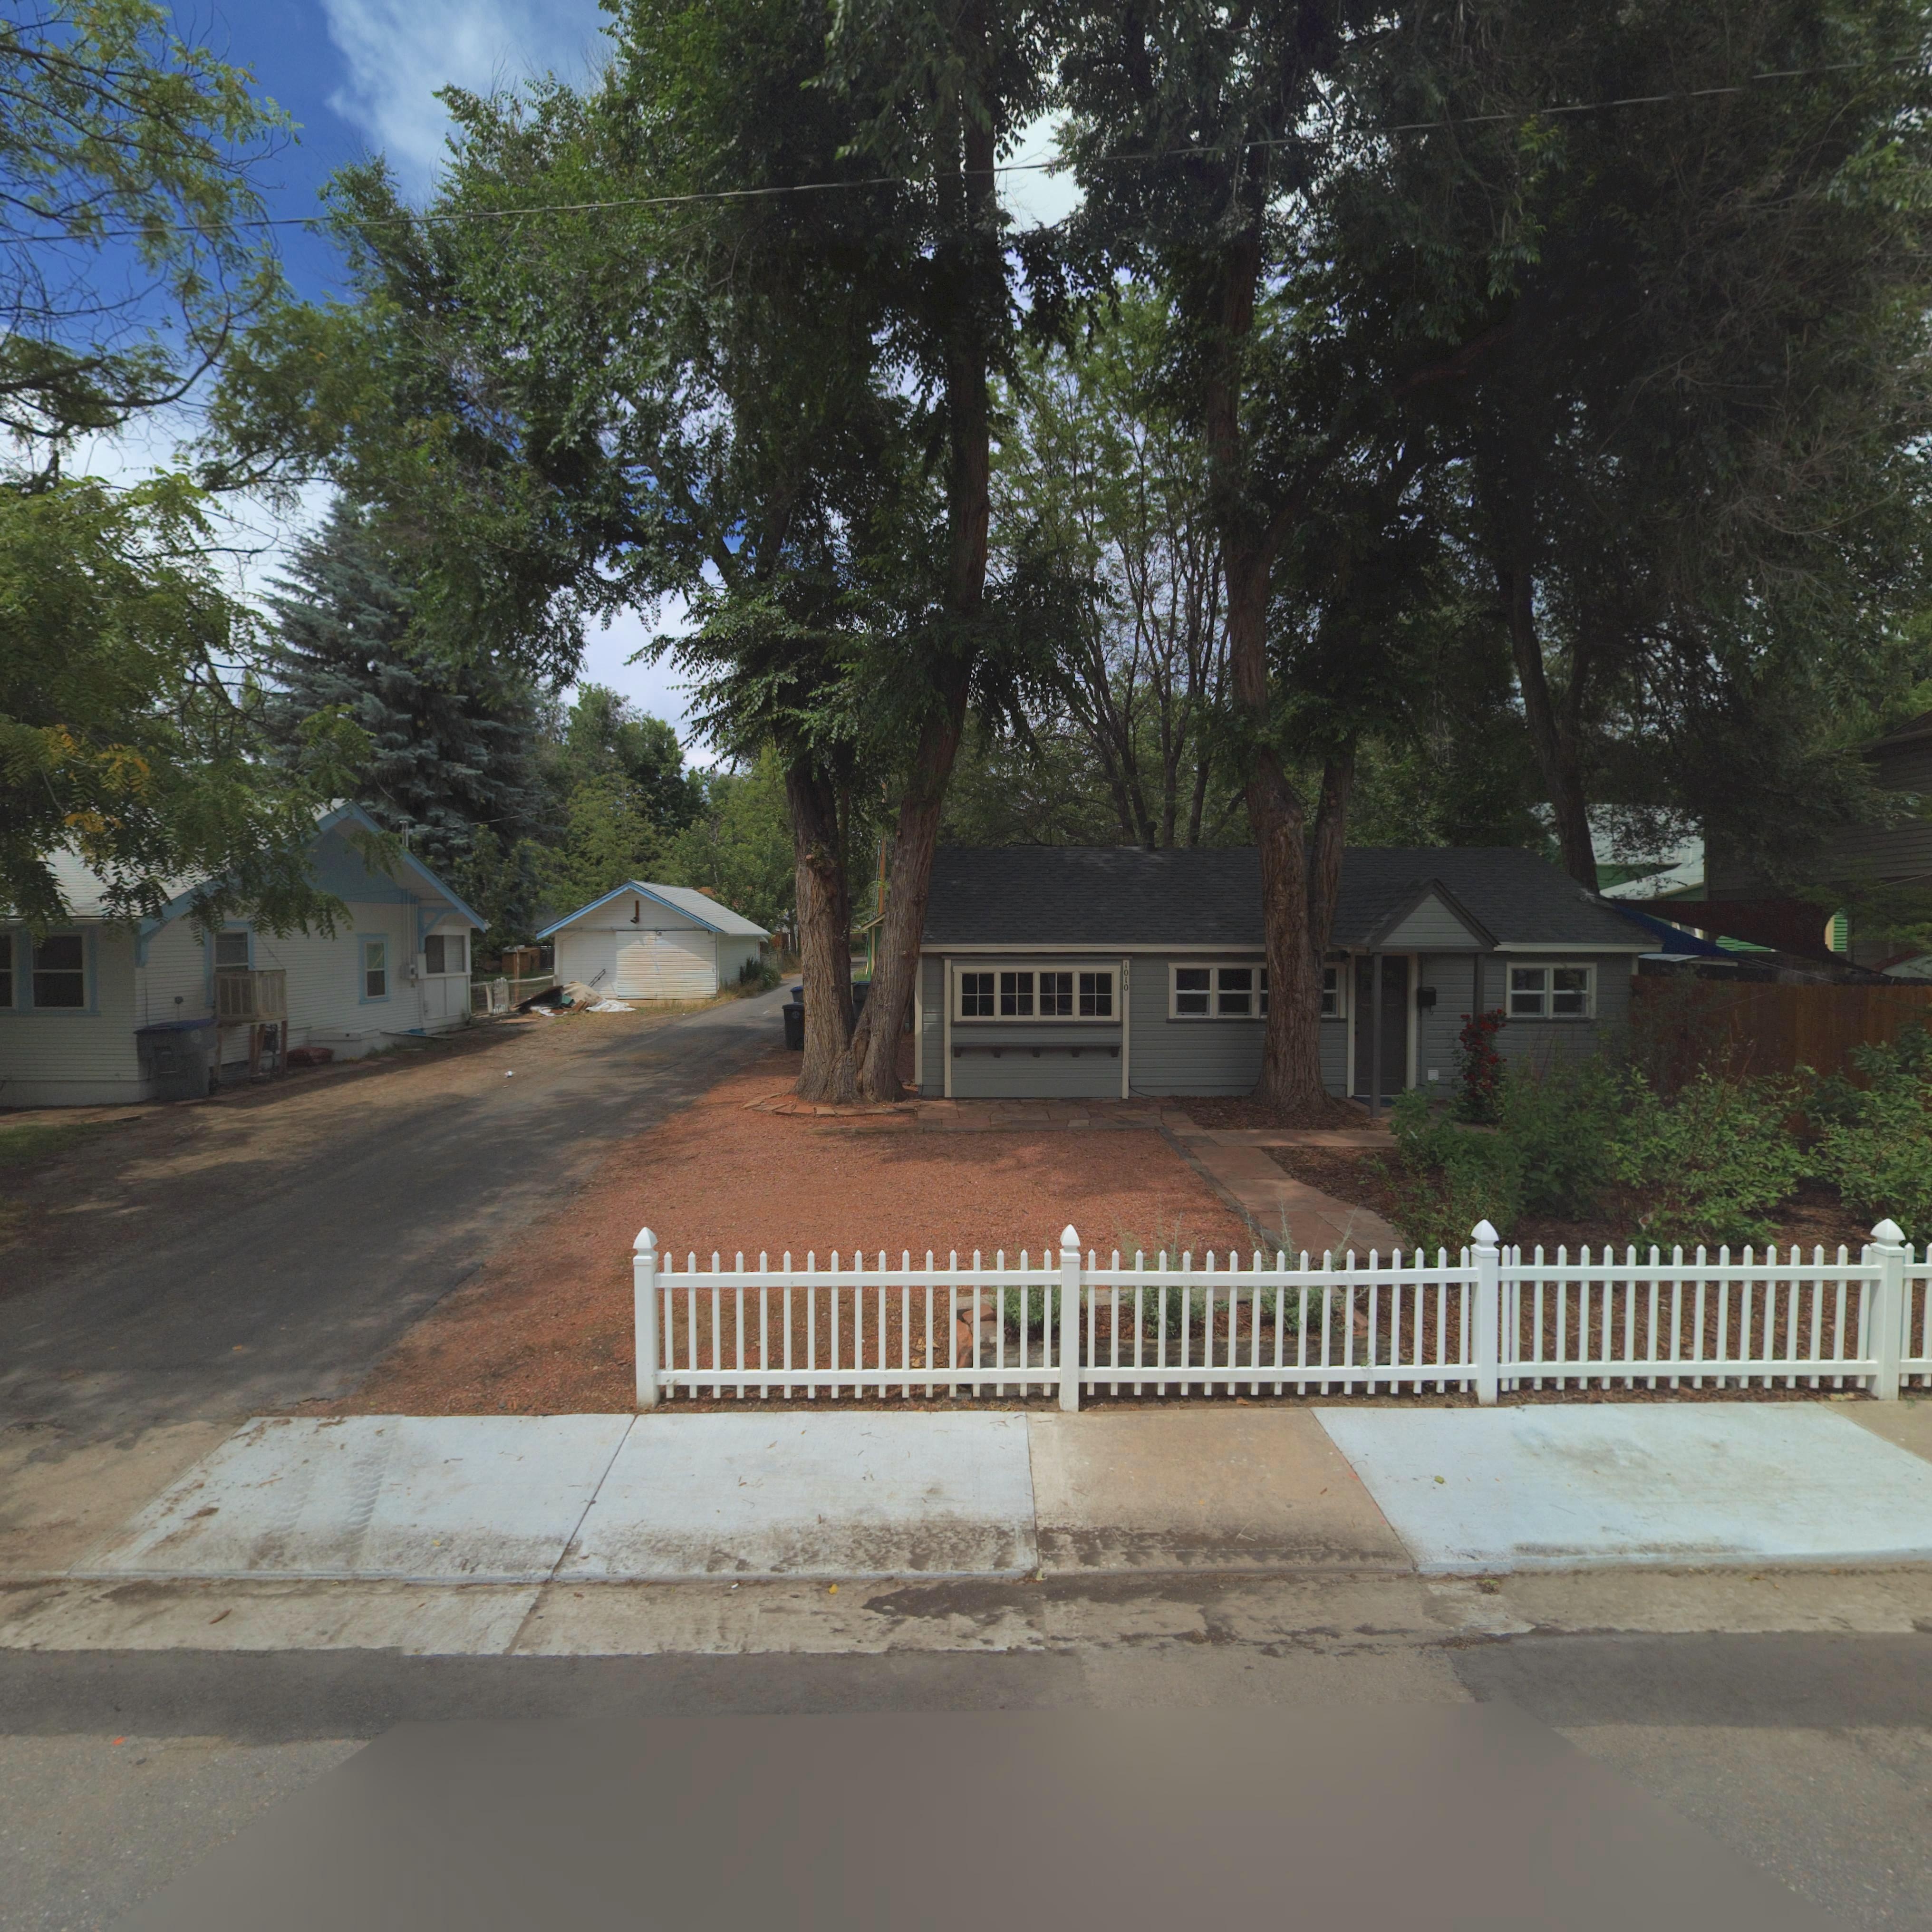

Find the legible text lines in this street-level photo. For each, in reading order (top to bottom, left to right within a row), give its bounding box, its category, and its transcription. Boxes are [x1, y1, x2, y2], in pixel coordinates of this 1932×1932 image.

[1123, 961, 1128, 991] StreetNumber: 1010